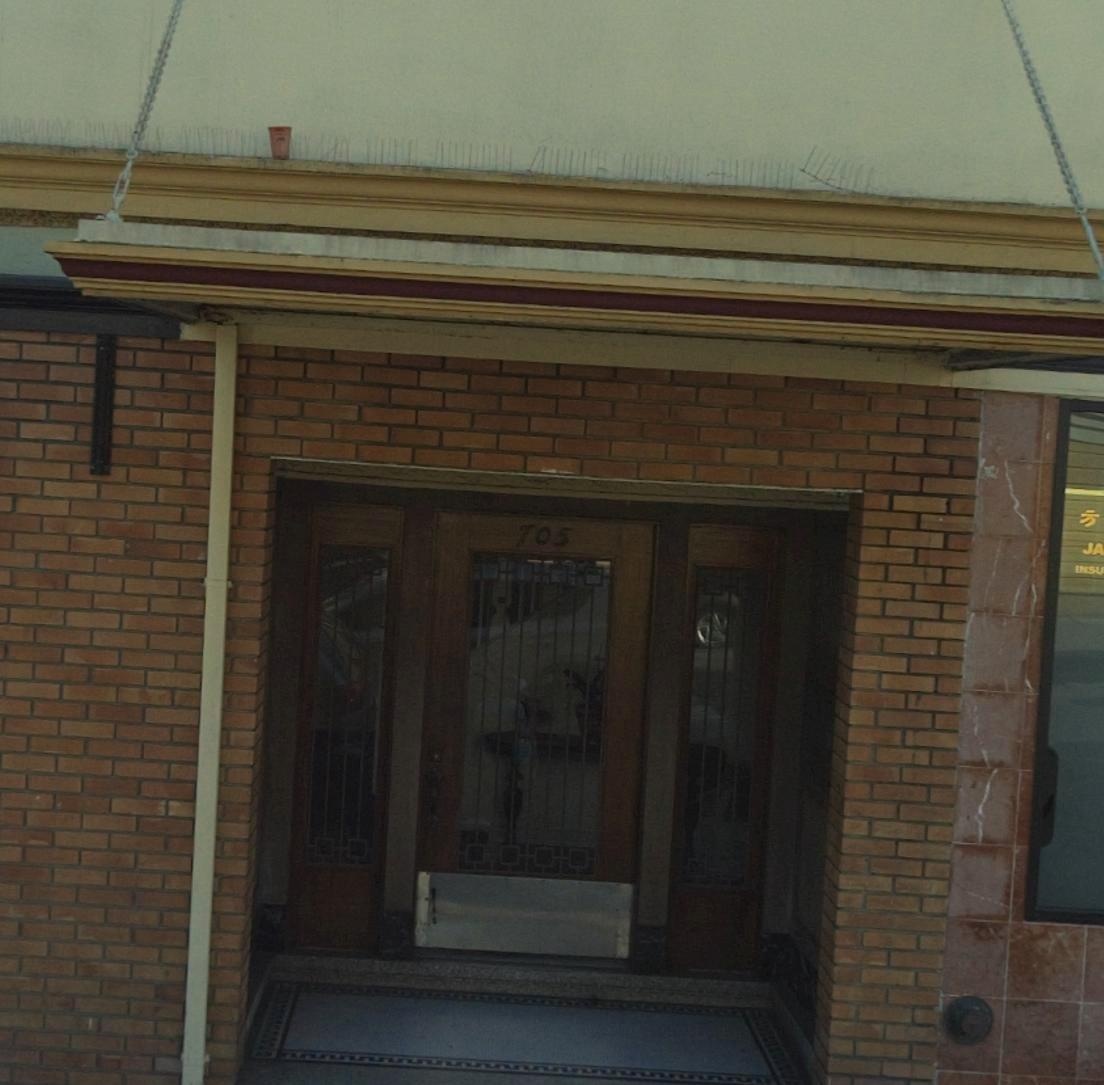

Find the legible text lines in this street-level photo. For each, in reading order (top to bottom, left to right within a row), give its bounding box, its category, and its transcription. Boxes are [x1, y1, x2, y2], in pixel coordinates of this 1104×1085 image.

[512, 522, 577, 548] StreetNumber: 705
[1081, 539, 1104, 557] None: JA
[1073, 563, 1104, 576] None: INSU